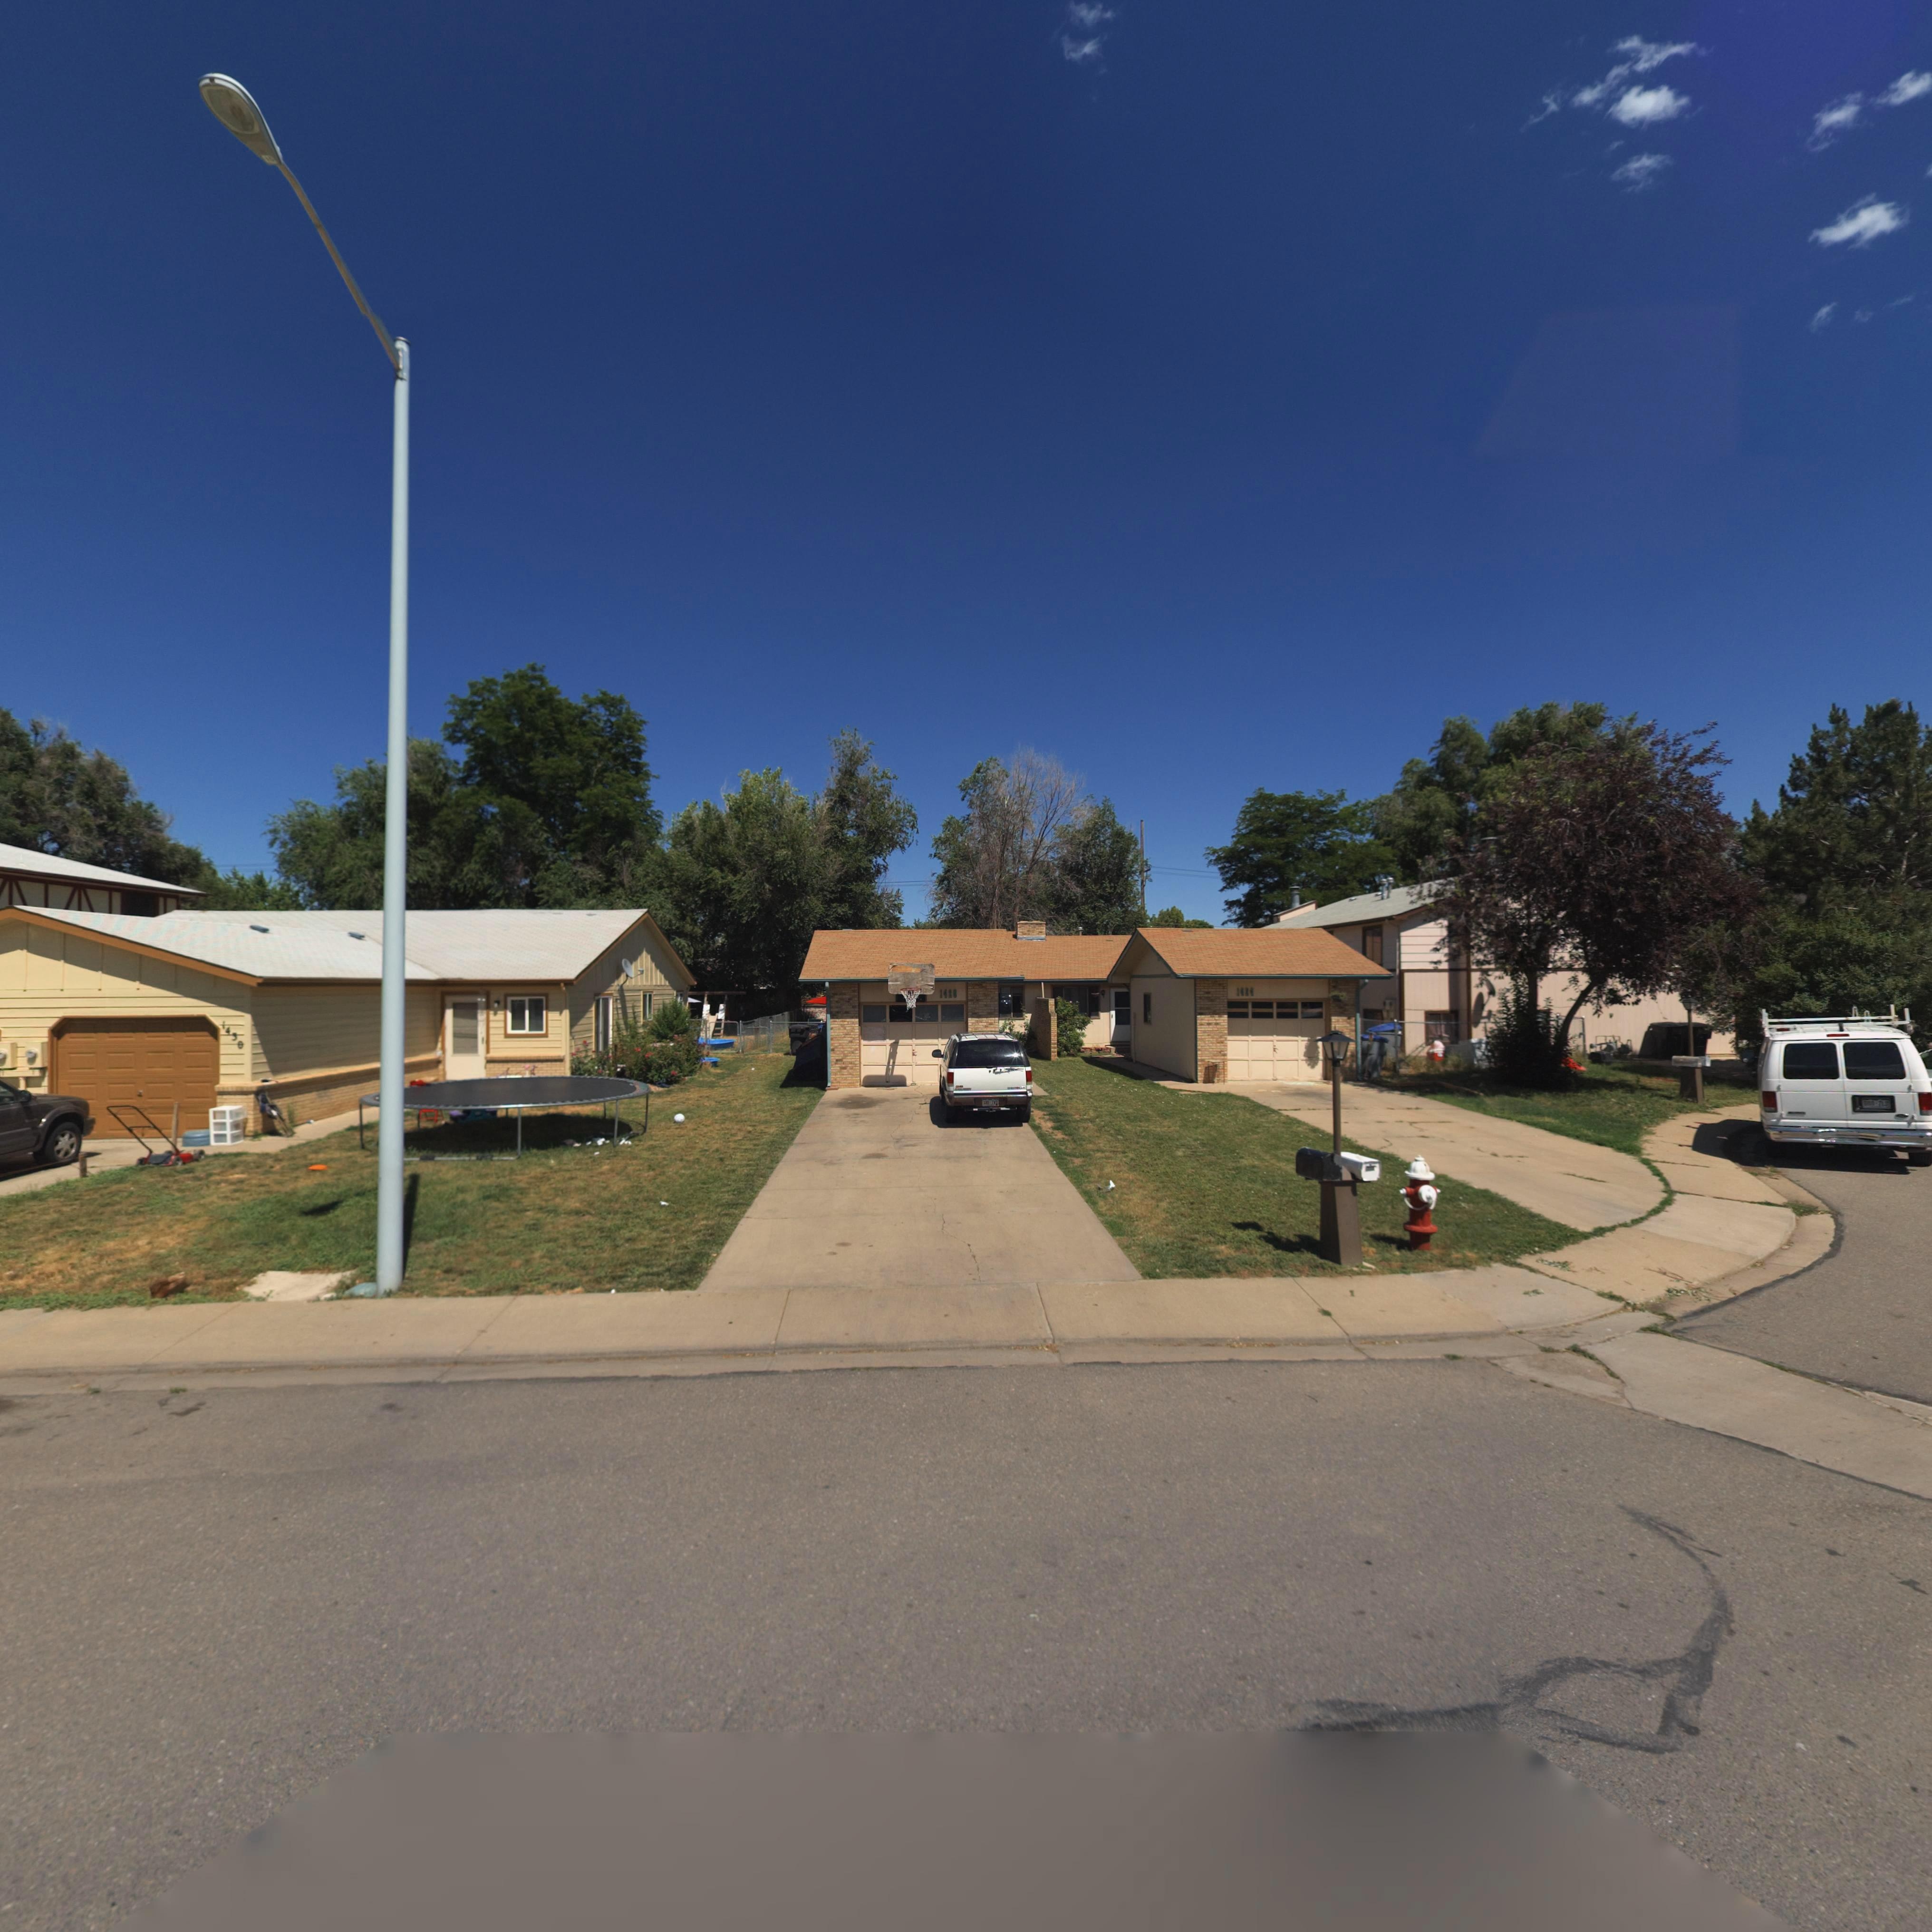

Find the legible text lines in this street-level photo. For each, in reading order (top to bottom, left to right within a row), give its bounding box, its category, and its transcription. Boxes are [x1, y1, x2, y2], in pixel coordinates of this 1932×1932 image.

[939, 988, 956, 998] StreetNumber: 142*
[1236, 987, 1254, 996] StreetNumber: 1424
[222, 1019, 243, 1049] StreetNumber: 1430